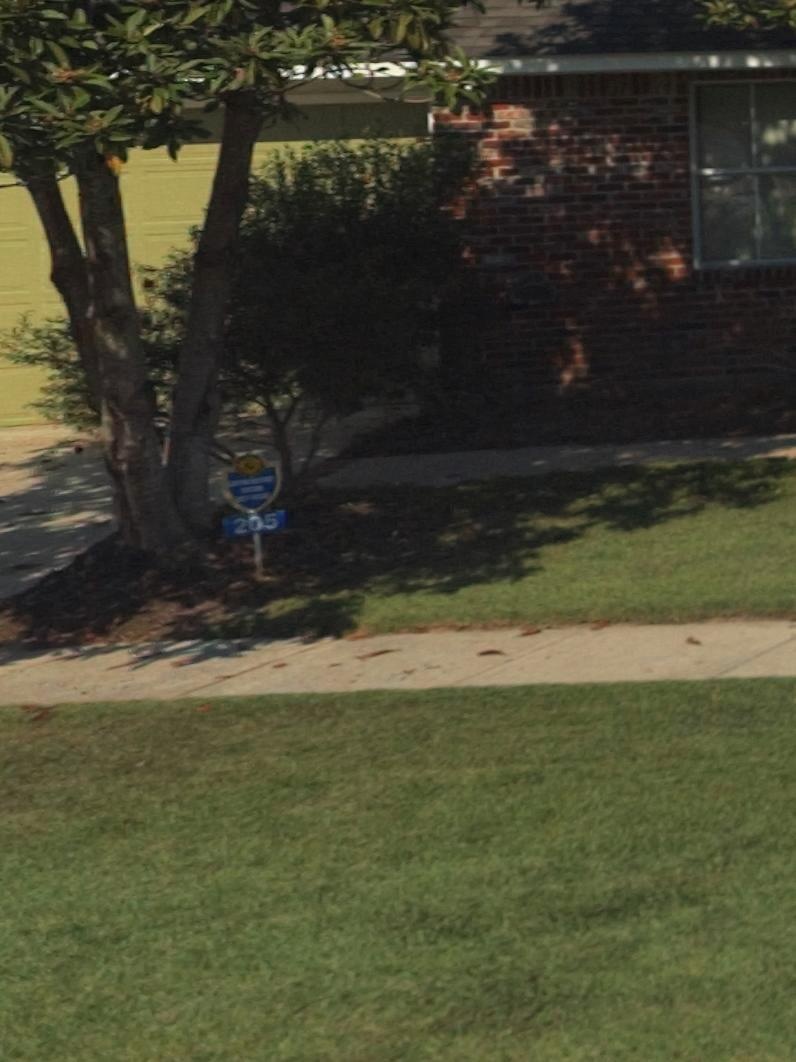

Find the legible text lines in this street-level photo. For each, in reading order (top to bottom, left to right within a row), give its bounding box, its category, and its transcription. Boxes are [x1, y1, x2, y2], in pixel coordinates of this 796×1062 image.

[232, 511, 280, 535] StreetNumber: 205